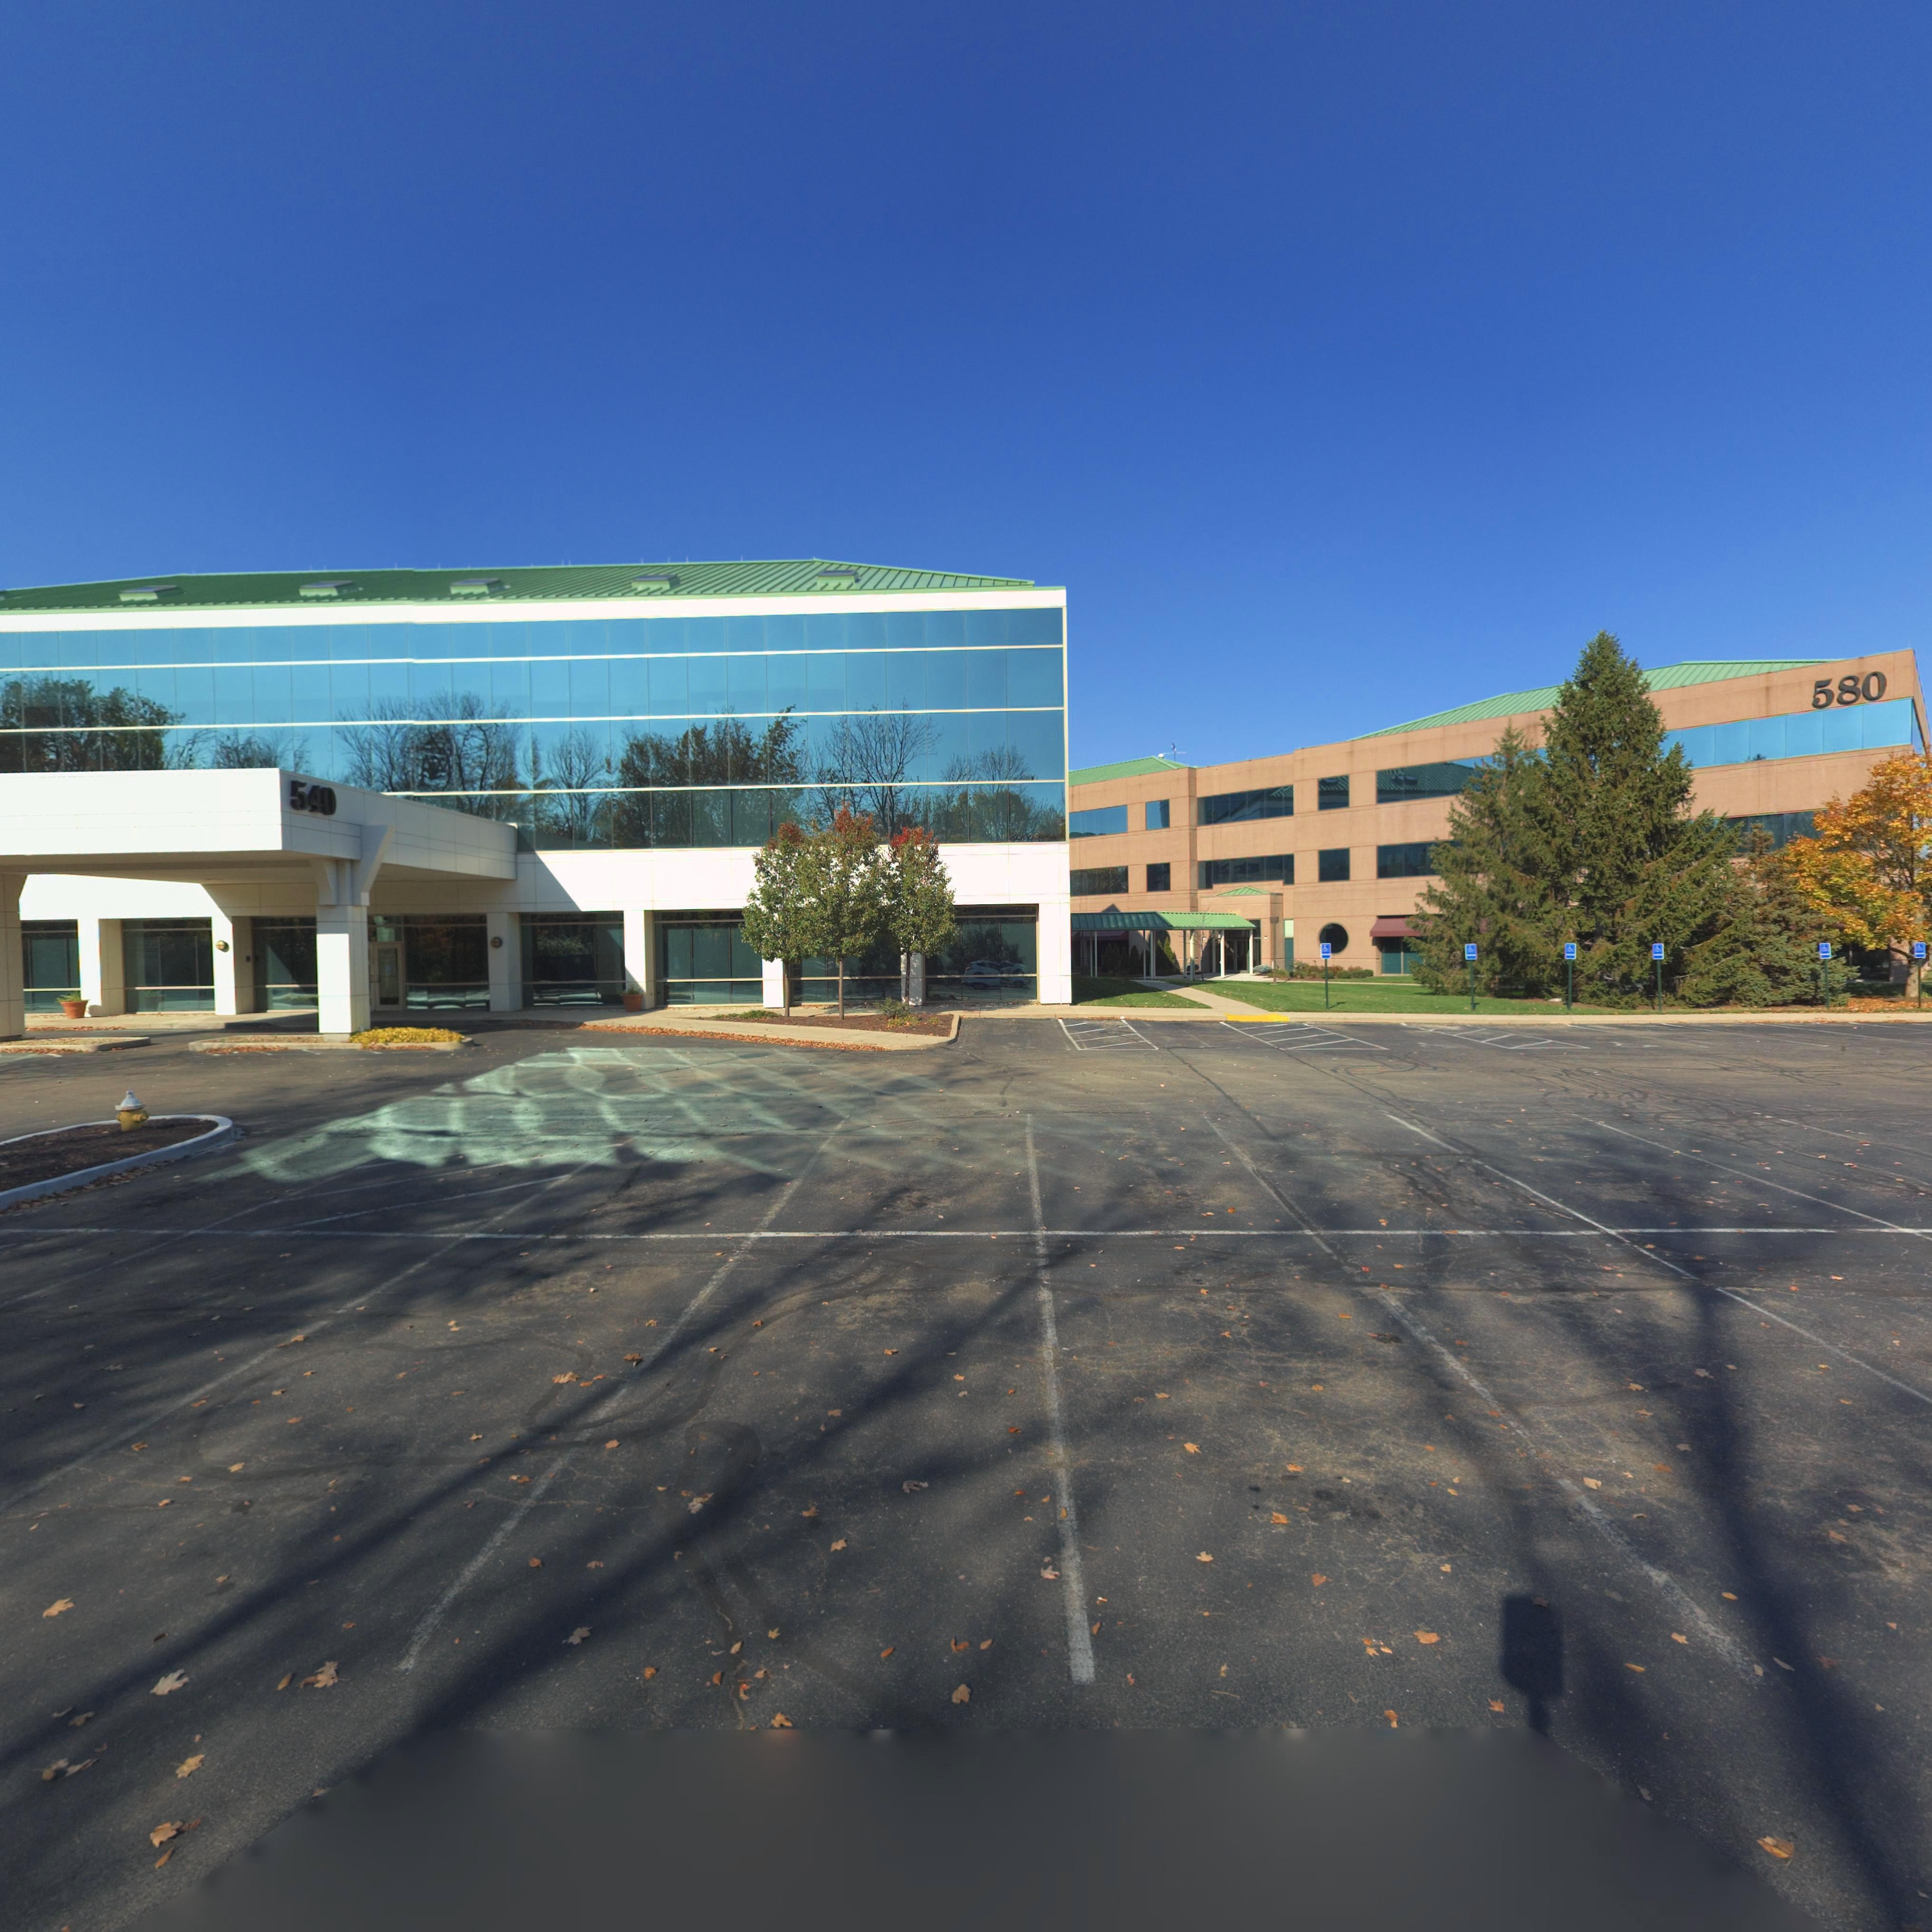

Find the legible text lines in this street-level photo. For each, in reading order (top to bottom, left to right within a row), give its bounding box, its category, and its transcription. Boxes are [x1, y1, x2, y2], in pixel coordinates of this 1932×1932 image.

[1811, 668, 1888, 710] StreetNumber: 580
[290, 779, 337, 817] StreetNumber: 540
[1227, 908, 1241, 916] StreetNumber: **0